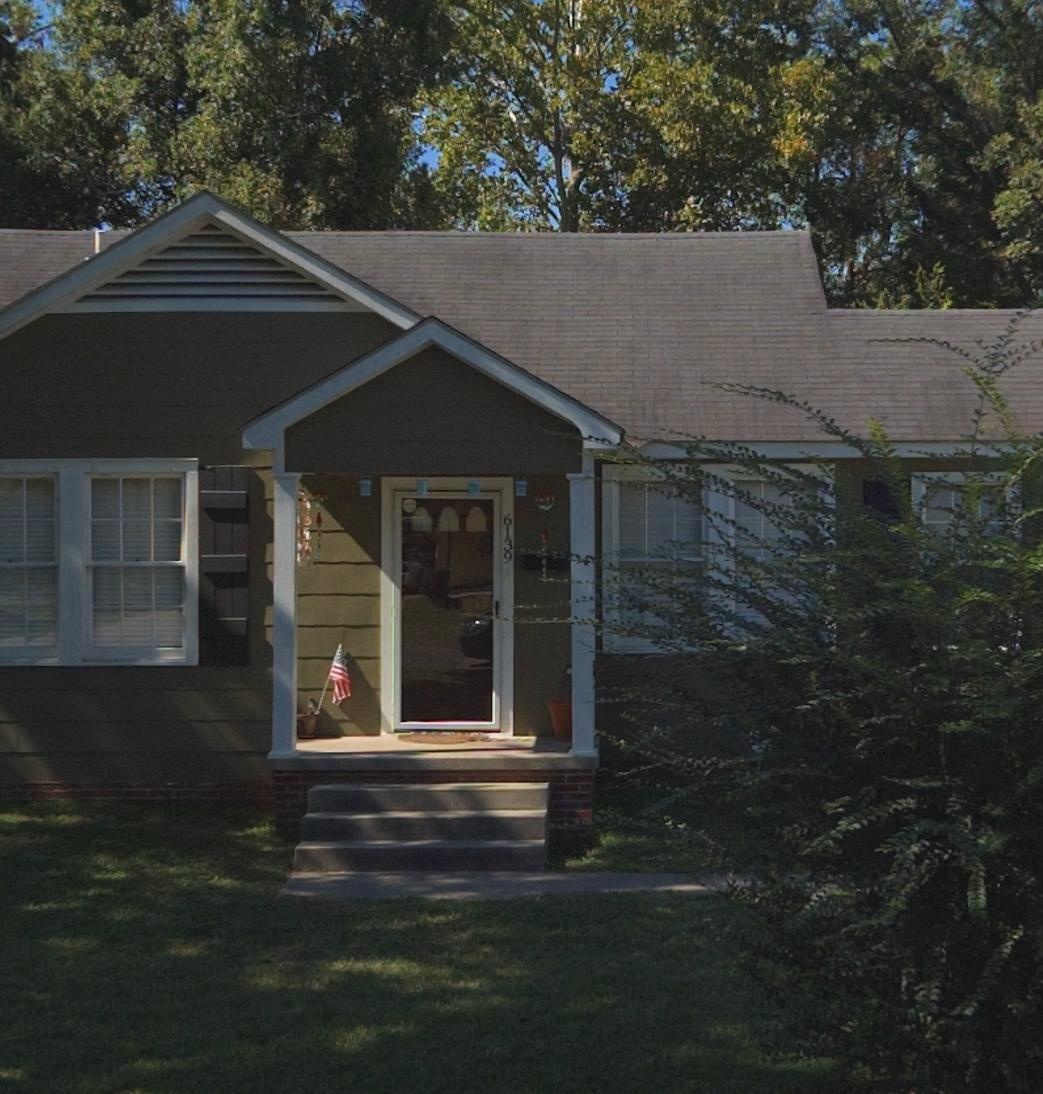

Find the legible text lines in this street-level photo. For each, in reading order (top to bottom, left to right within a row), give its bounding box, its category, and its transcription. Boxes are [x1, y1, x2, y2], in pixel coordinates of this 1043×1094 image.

[502, 512, 514, 565] StreetNumber: 6139